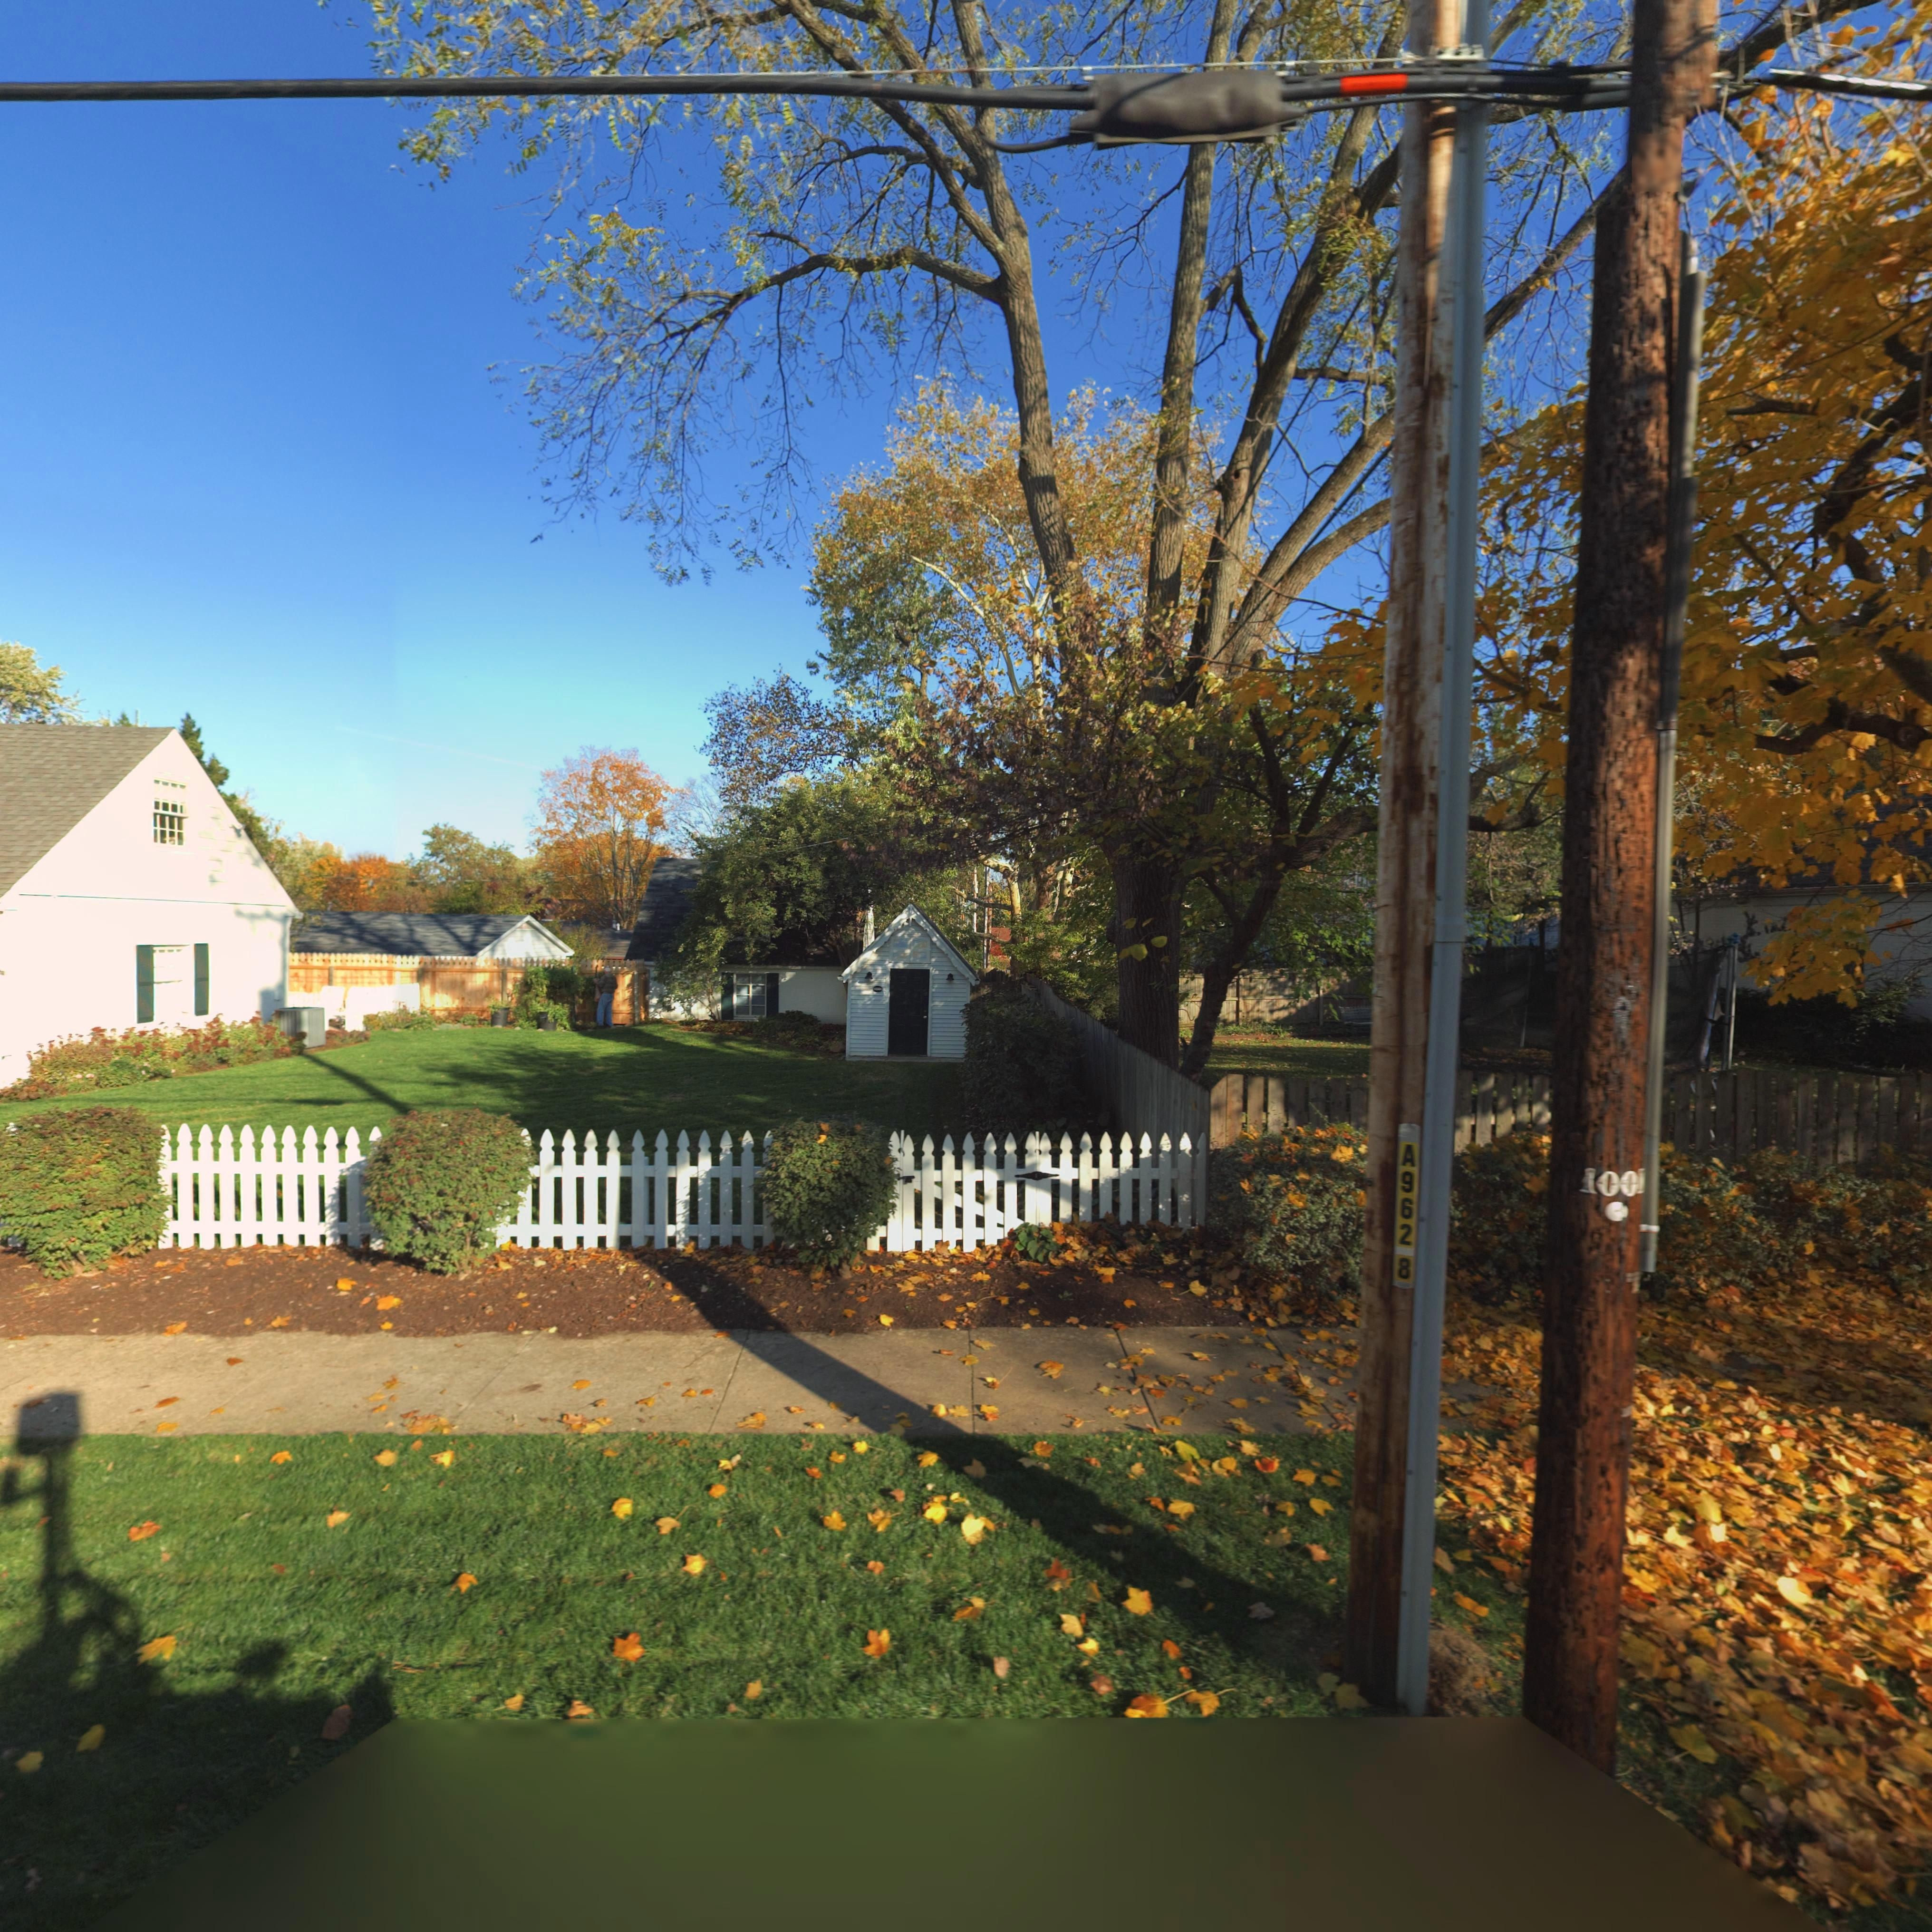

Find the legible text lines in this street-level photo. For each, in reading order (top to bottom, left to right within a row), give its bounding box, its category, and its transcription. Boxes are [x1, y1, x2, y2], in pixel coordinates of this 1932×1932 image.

[873, 987, 881, 990] StreetNumber: **00